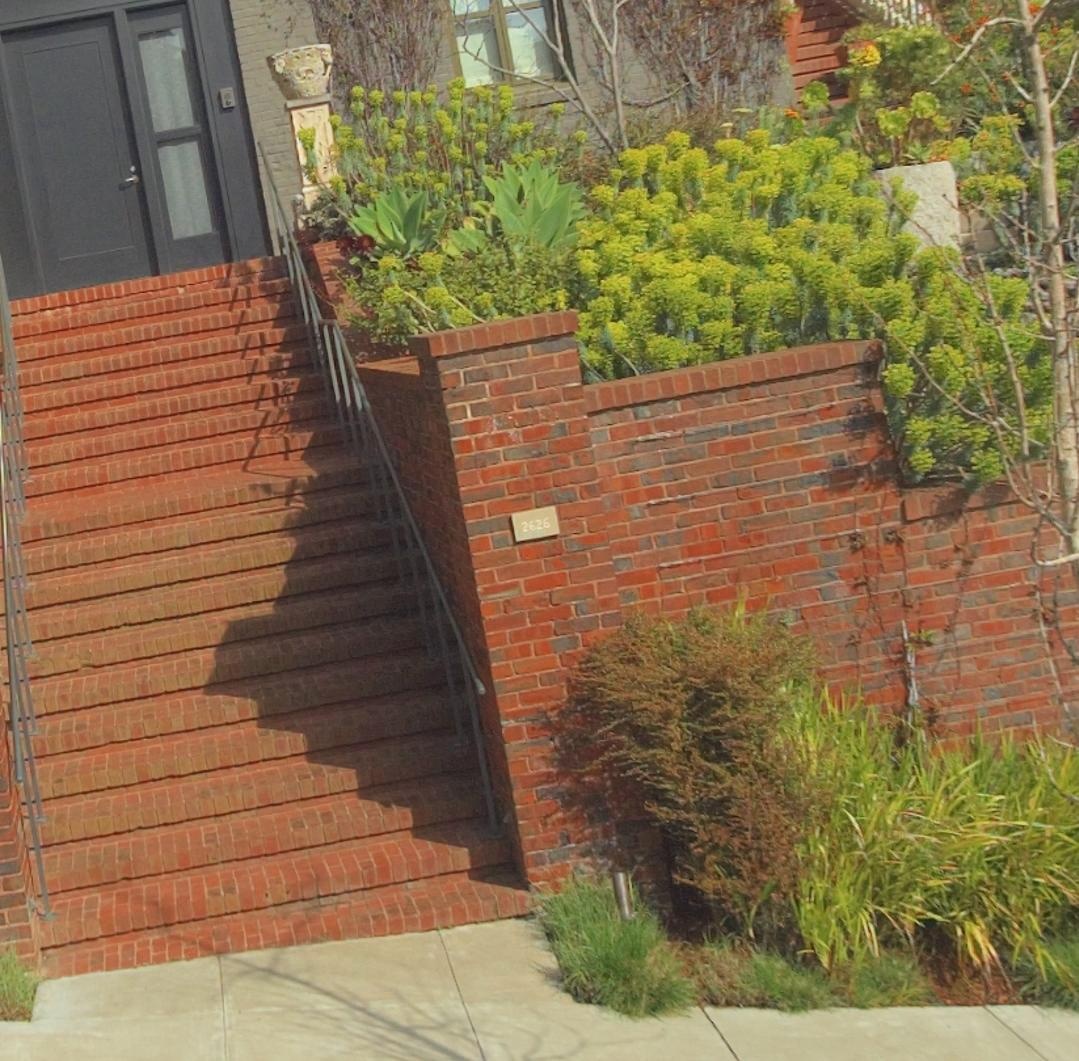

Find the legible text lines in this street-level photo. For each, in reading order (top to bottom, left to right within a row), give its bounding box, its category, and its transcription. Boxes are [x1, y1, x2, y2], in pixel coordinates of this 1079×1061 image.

[518, 515, 553, 536] StreetNumber: 2626